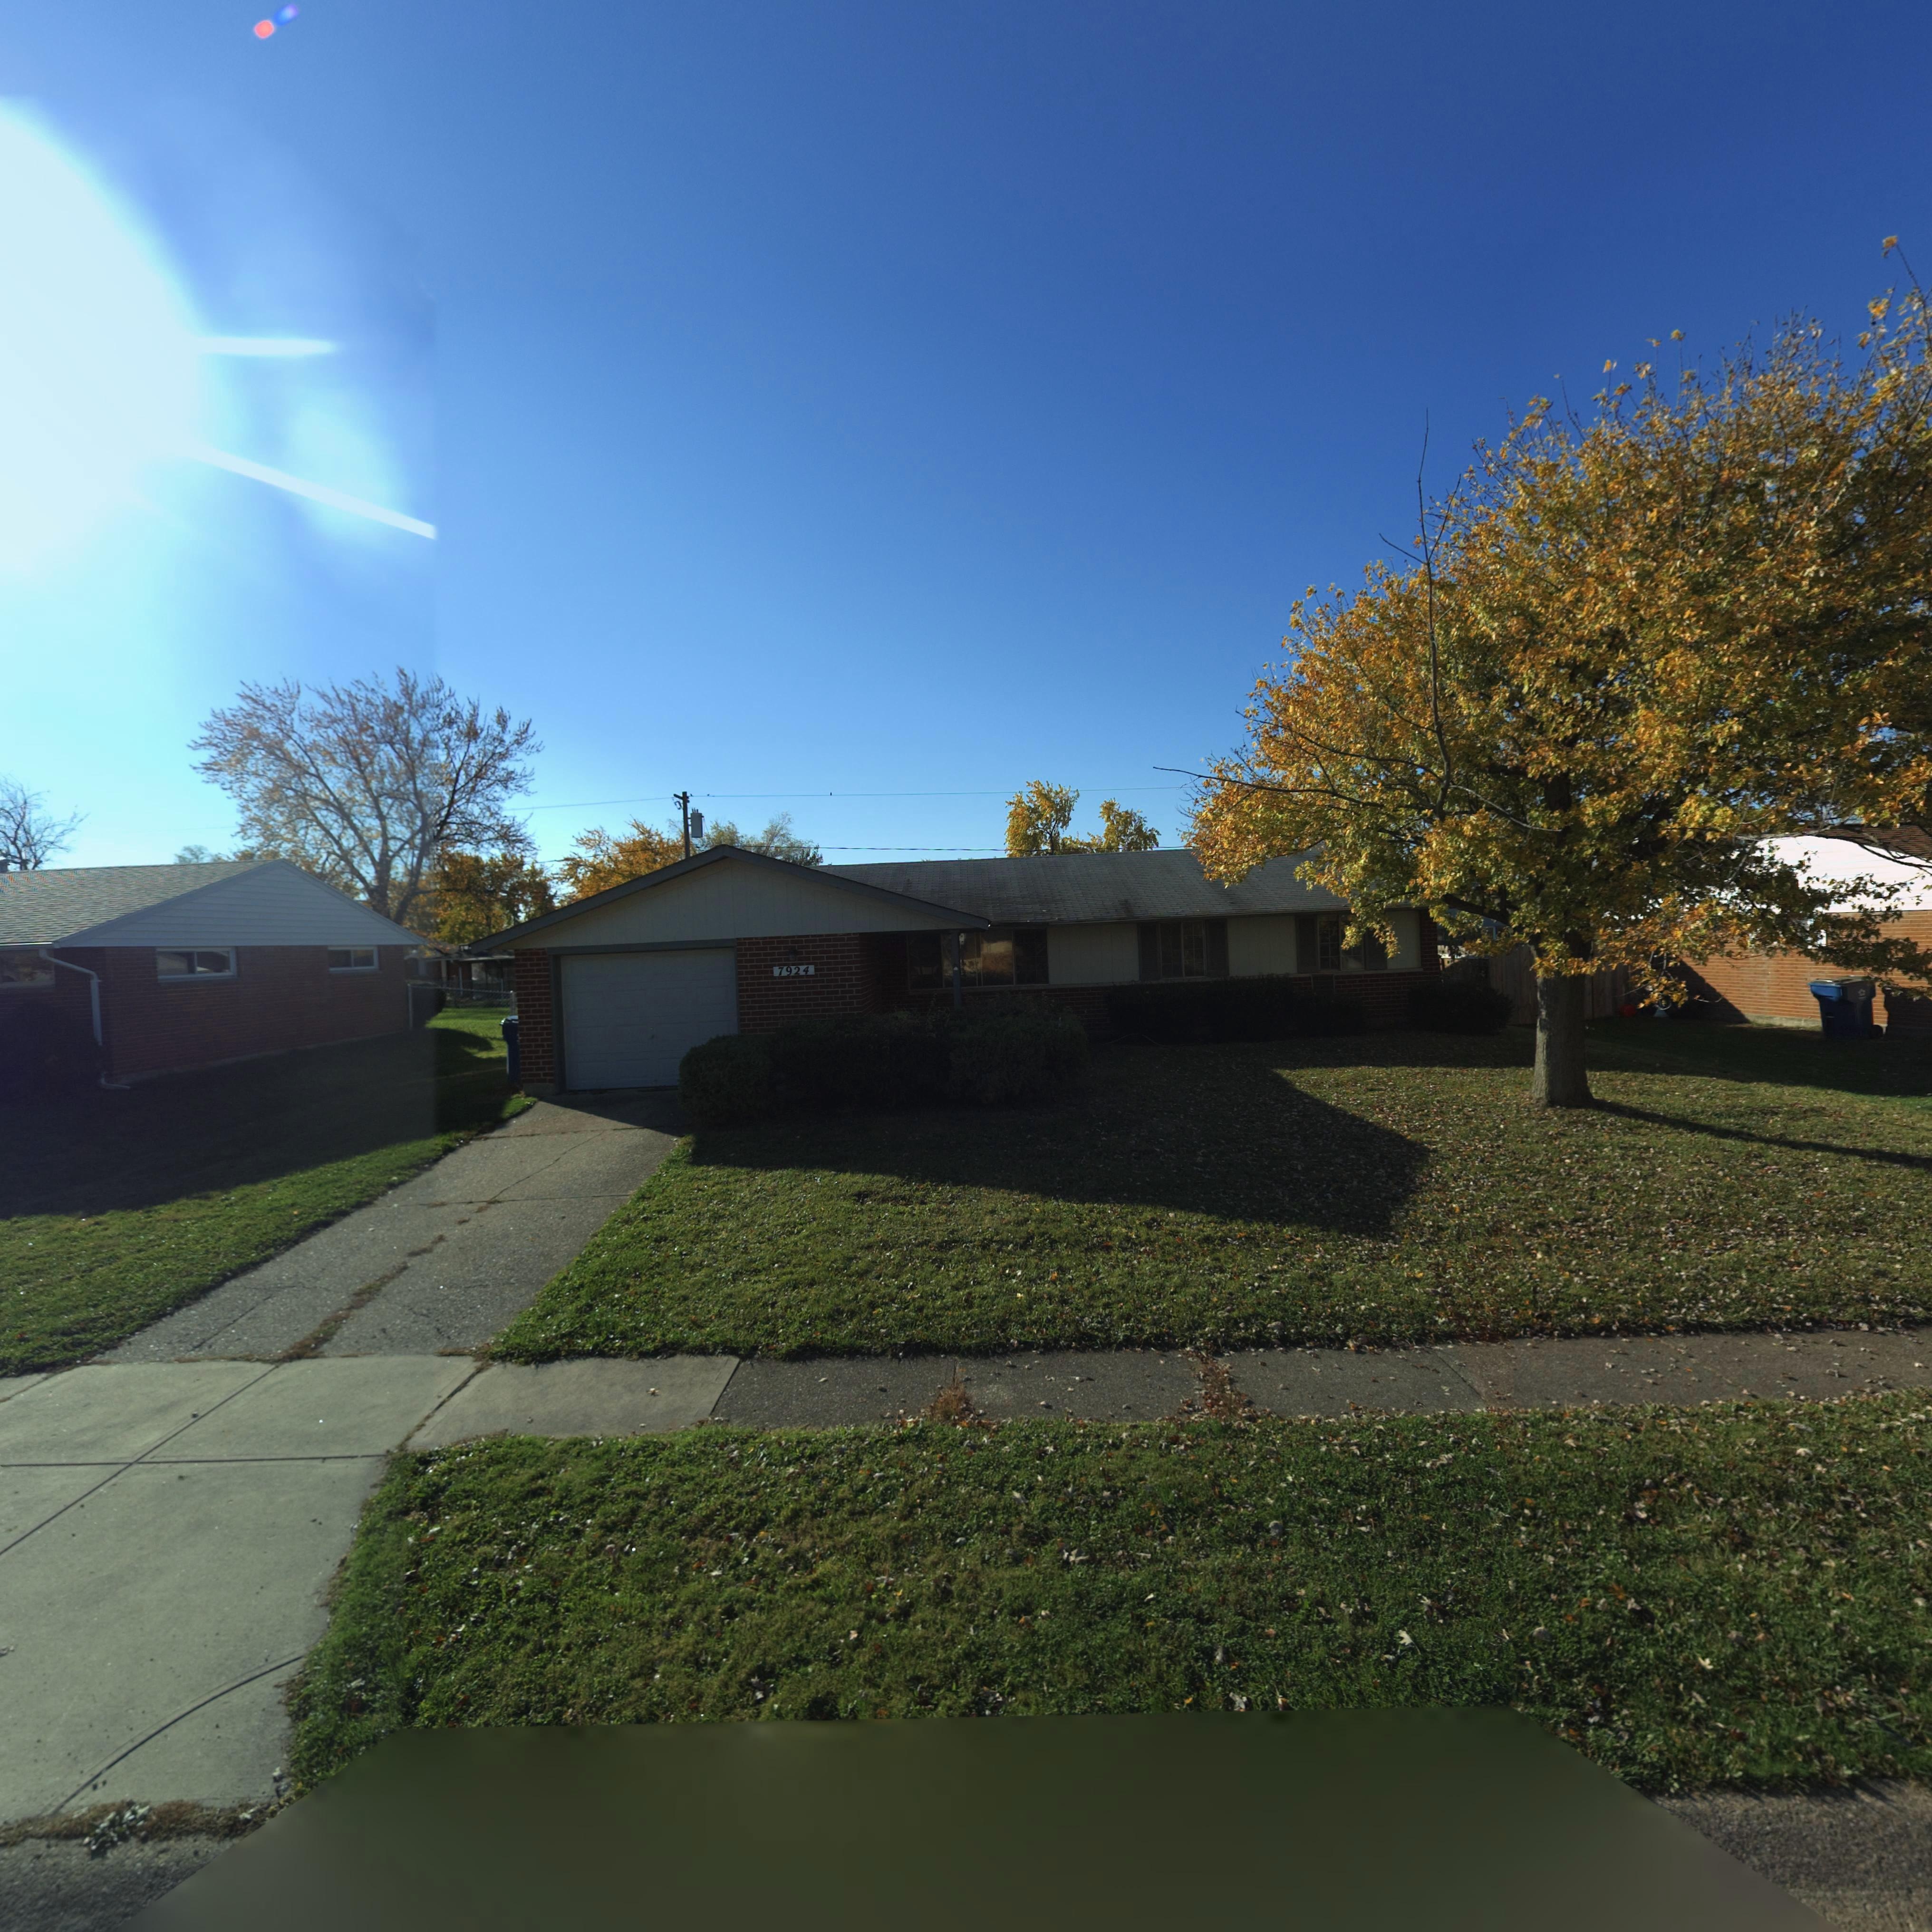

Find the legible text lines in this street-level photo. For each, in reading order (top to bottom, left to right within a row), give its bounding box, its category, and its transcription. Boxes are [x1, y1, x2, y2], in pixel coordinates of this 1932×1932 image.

[777, 965, 810, 976] StreetNumber: 7924